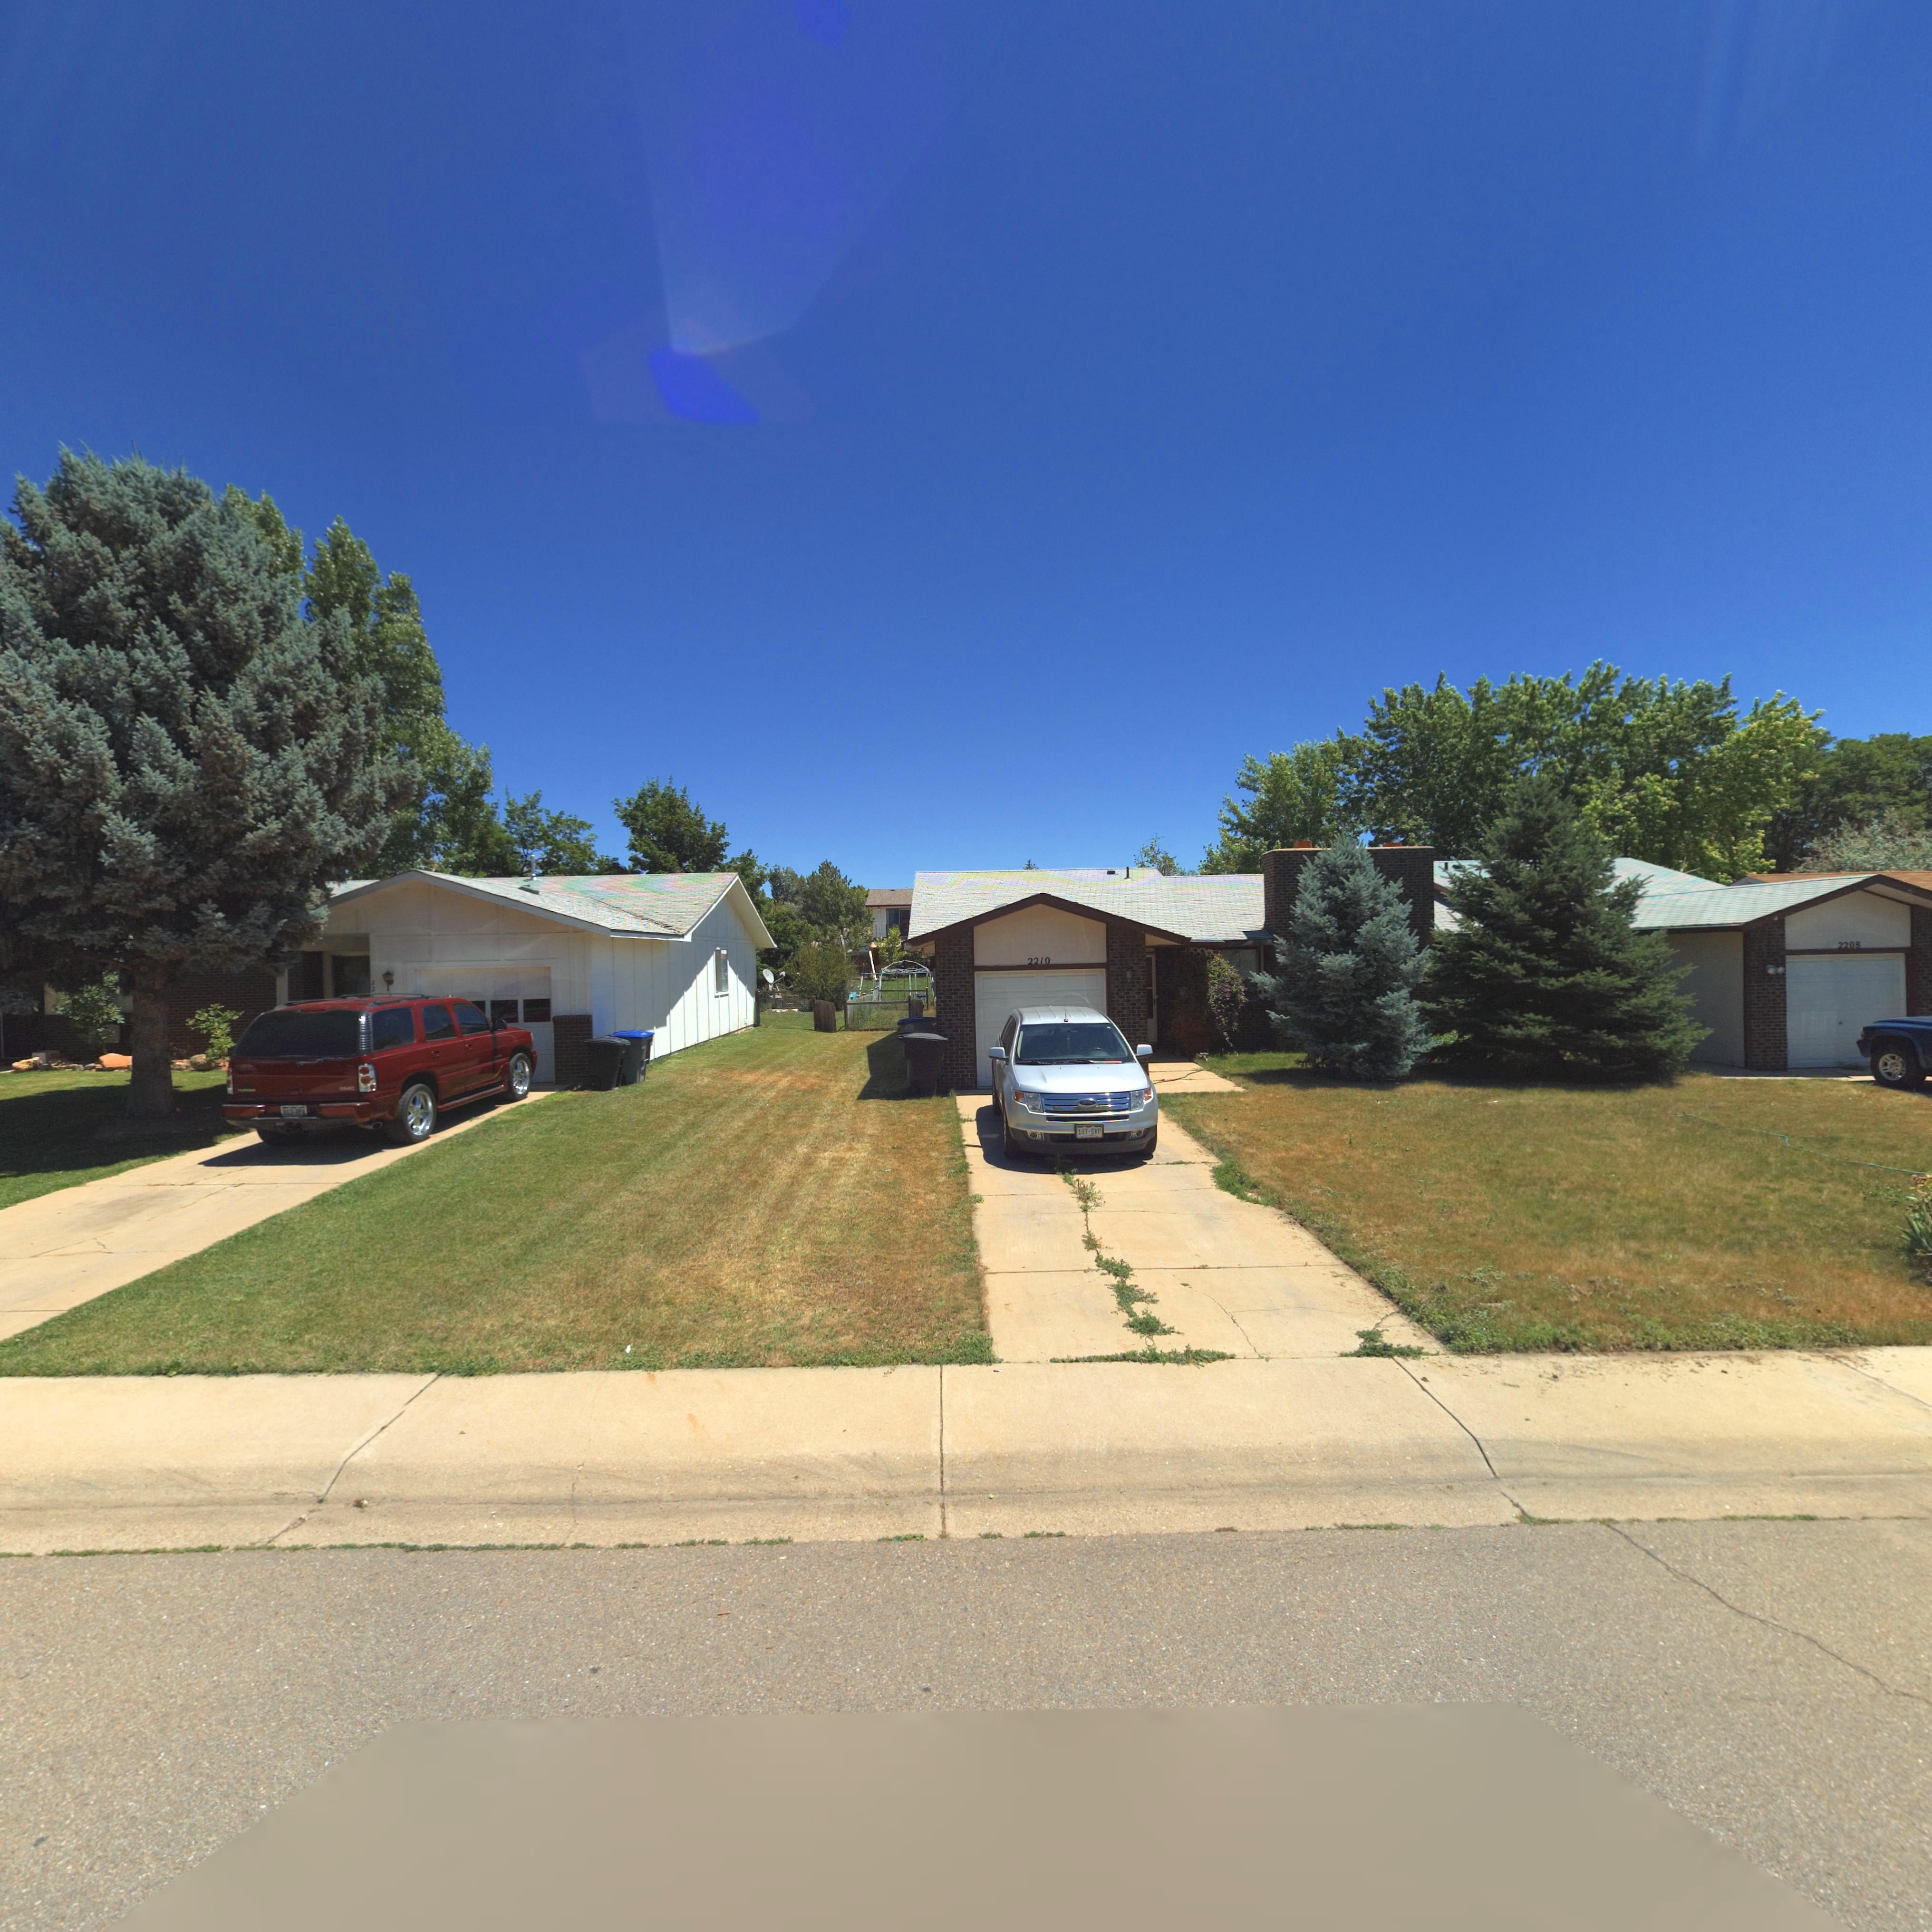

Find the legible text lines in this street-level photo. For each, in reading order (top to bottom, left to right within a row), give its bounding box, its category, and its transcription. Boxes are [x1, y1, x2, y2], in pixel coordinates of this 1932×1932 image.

[1836, 940, 1861, 949] StreetNumber: 2208
[1026, 956, 1050, 965] StreetNumber: 2210
[370, 978, 376, 997] StreetNumber: 221